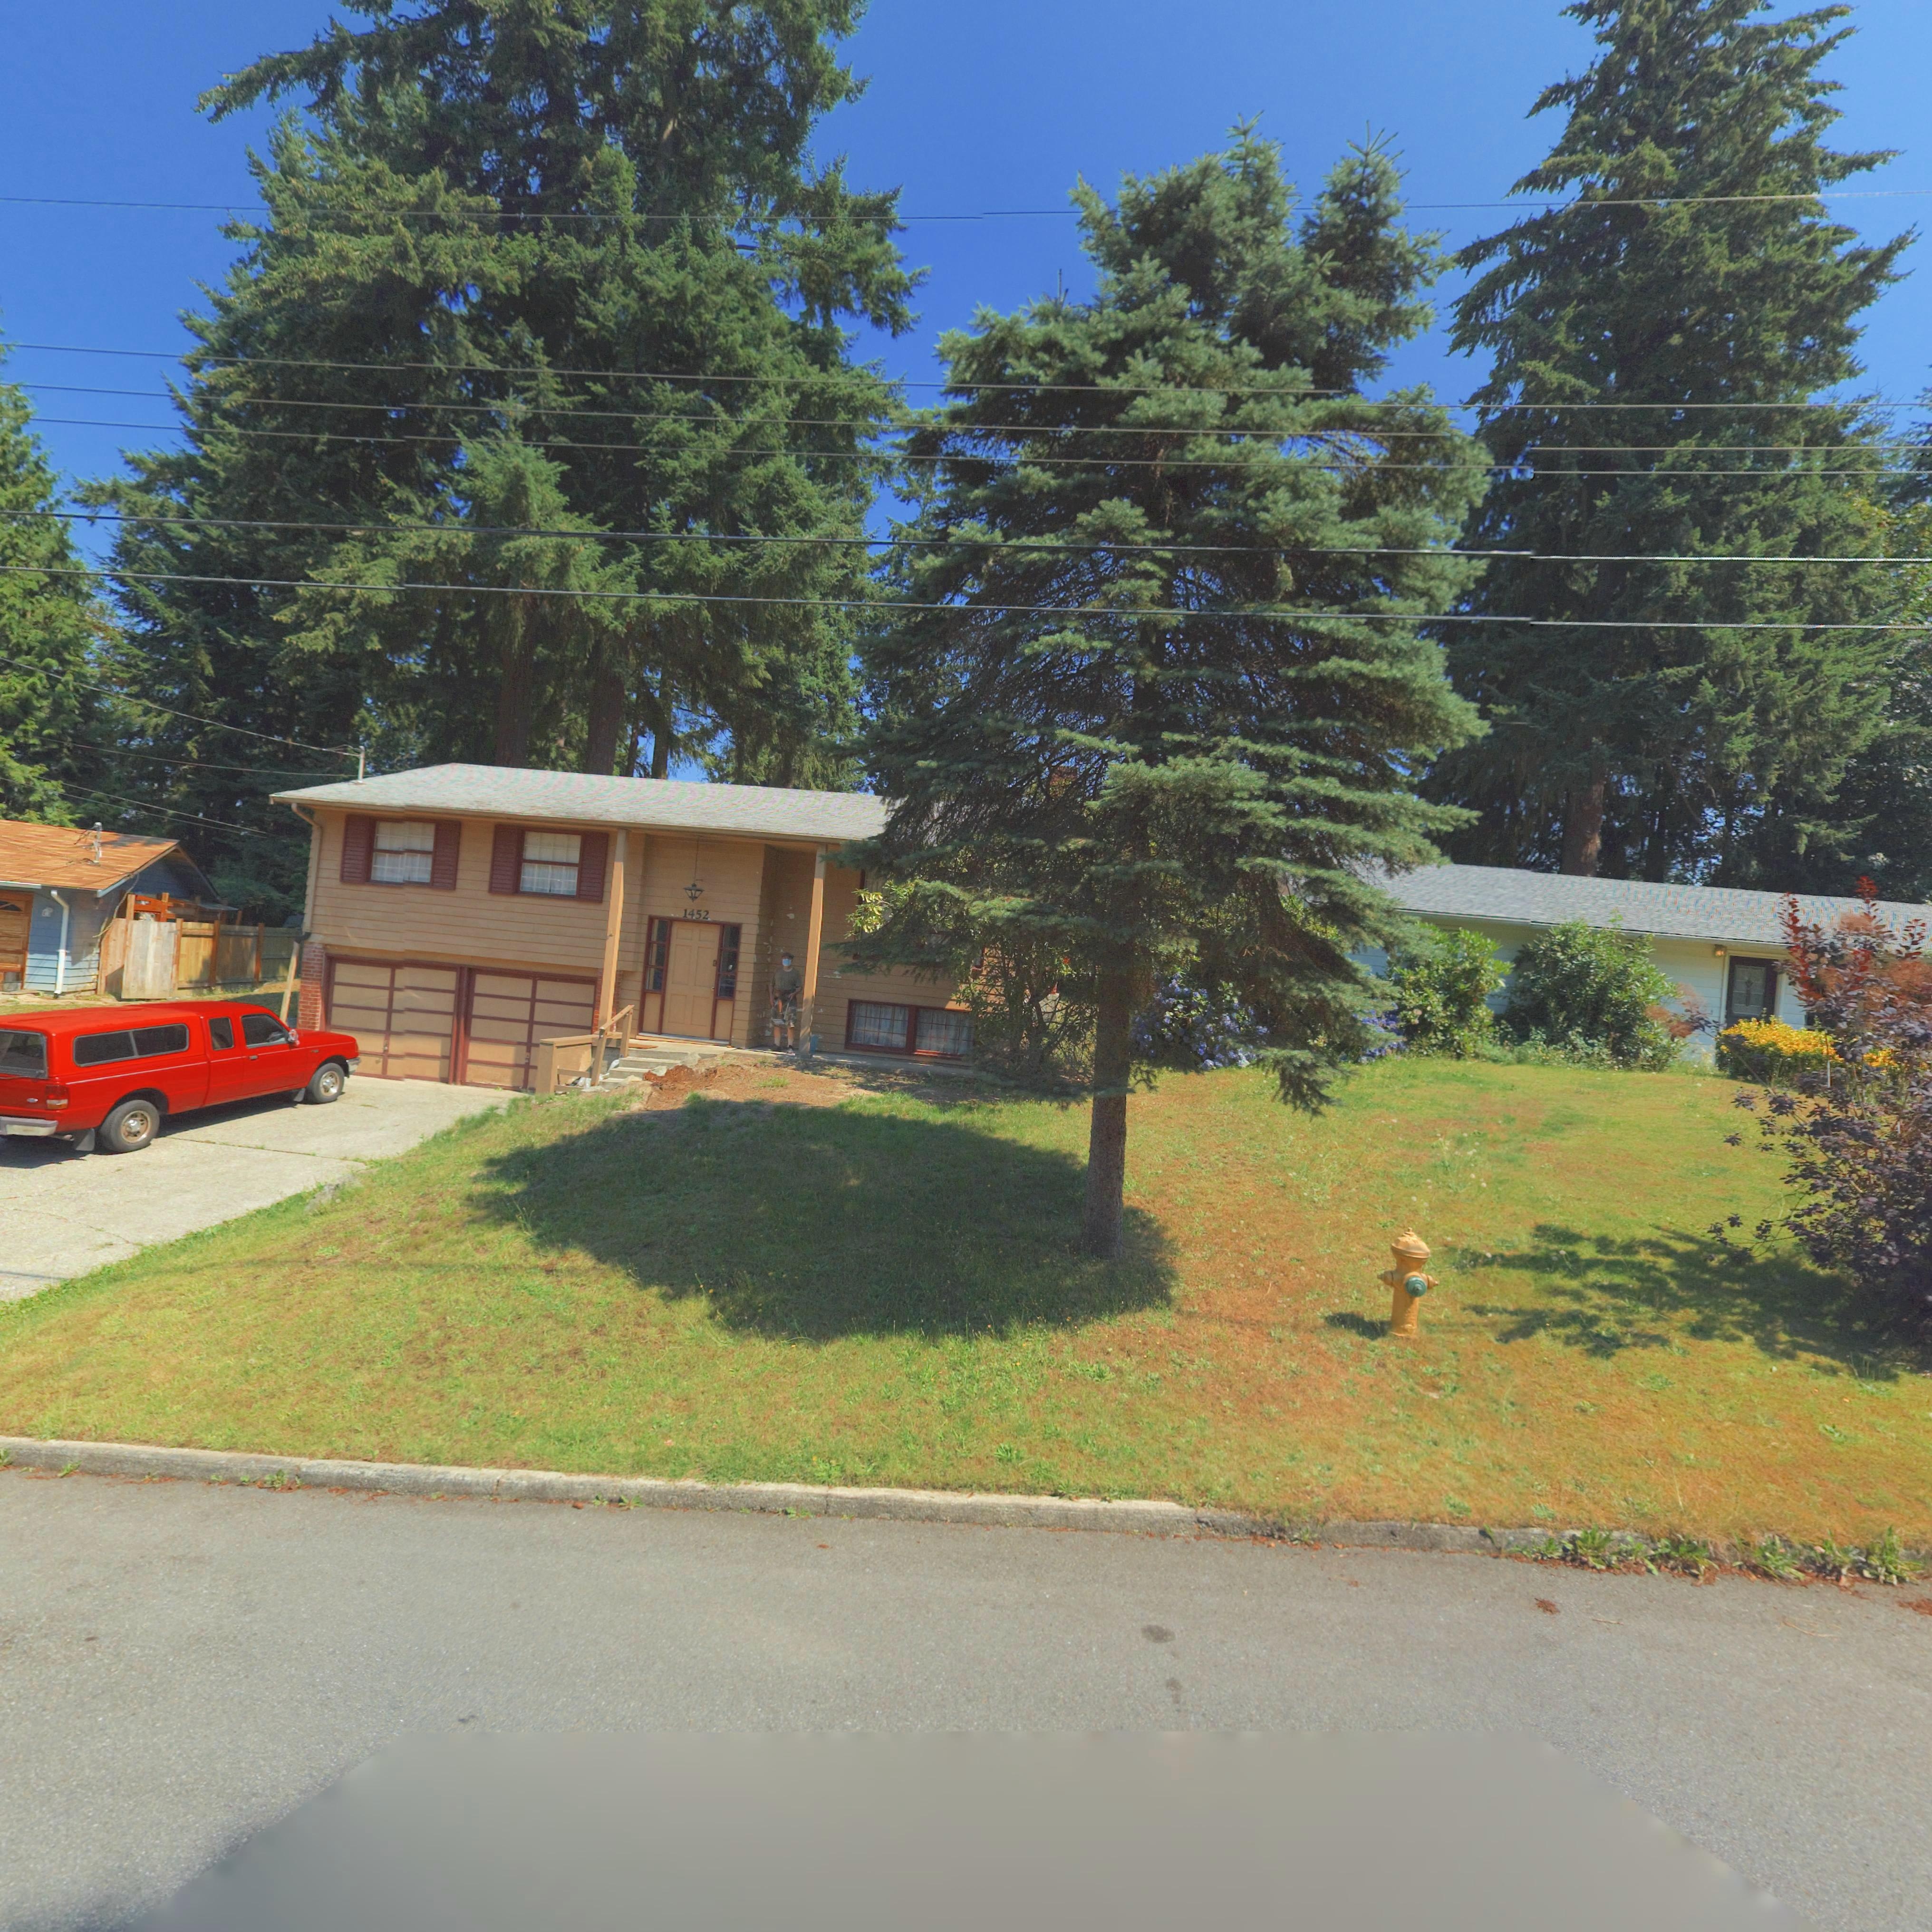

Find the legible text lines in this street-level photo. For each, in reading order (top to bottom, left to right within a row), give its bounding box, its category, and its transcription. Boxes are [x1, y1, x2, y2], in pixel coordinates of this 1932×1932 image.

[682, 908, 709, 920] StreetNumber: 1452